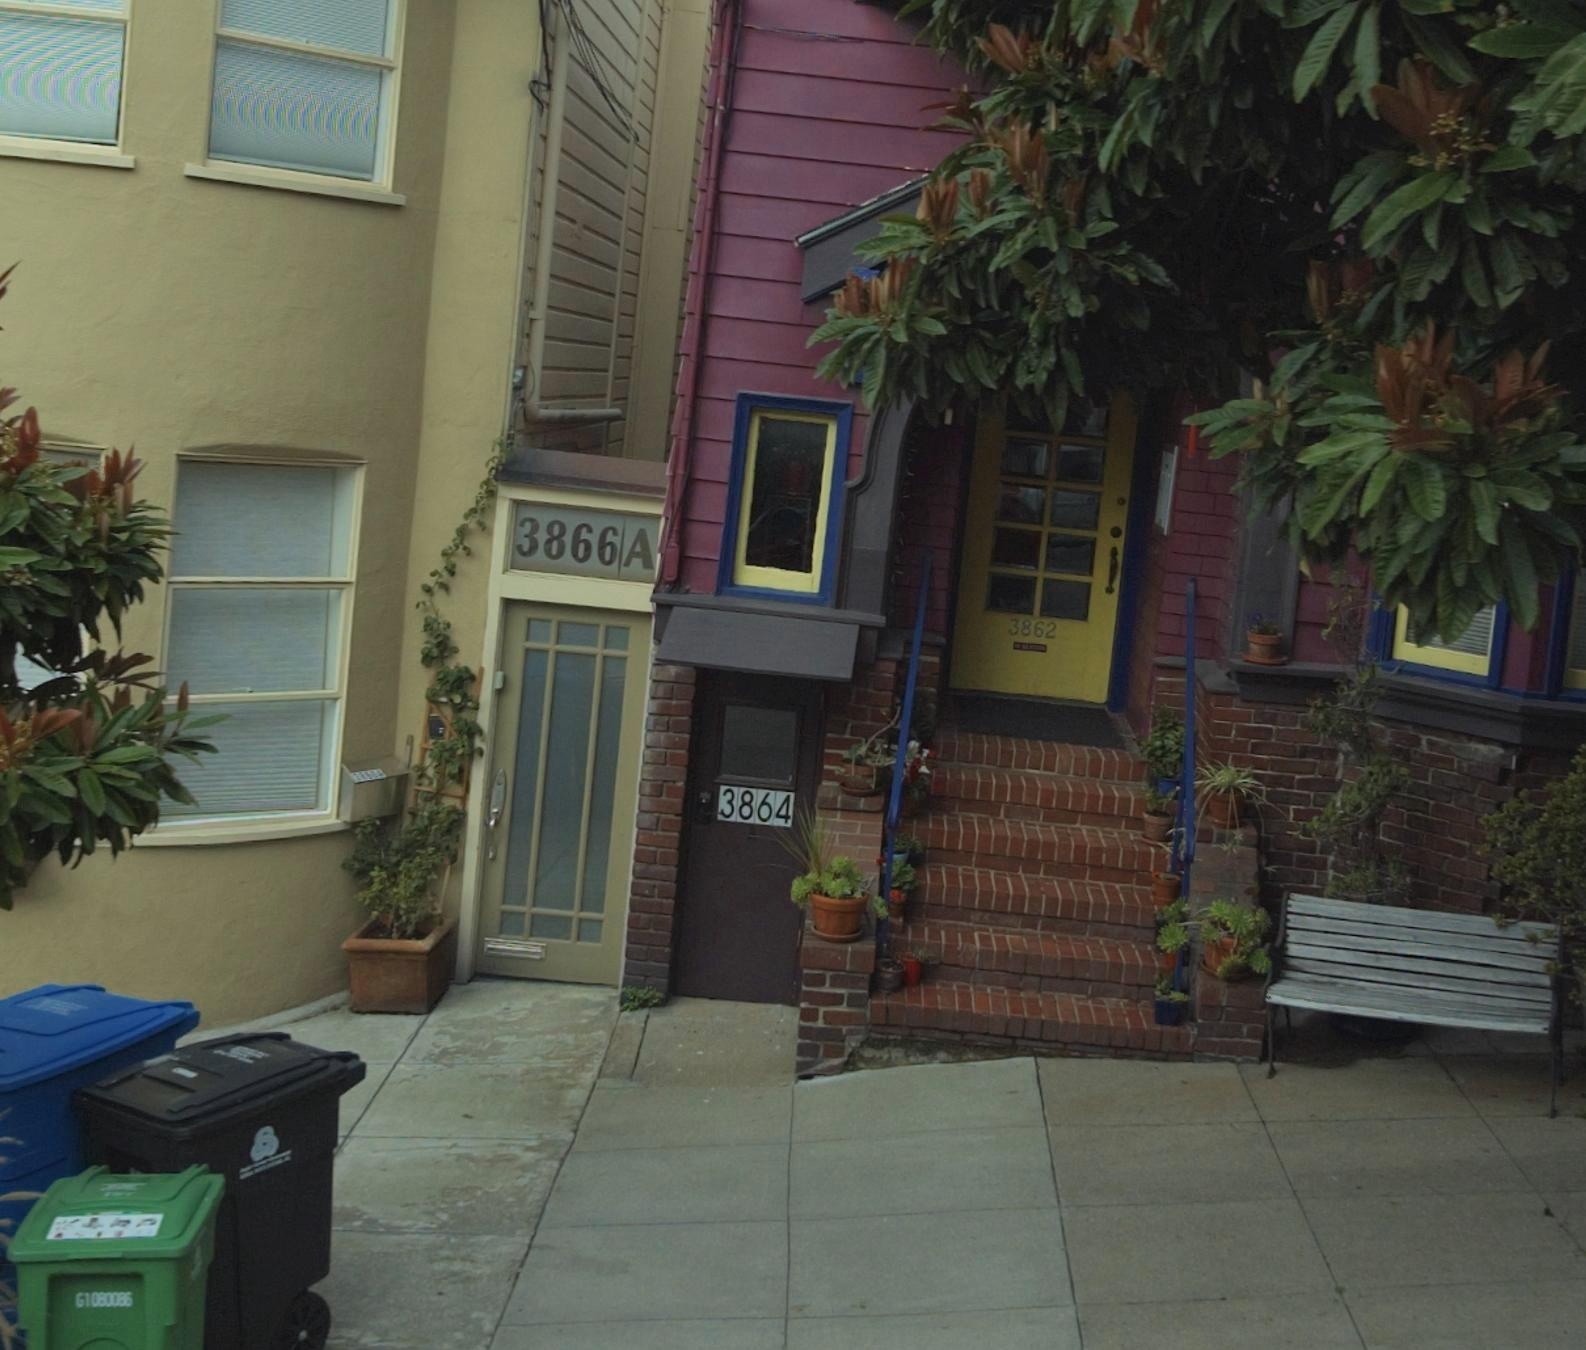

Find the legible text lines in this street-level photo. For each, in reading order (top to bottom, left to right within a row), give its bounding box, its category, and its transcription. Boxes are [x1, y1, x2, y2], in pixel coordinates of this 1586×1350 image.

[514, 514, 657, 572] StreetNumber: 3866A
[1013, 643, 1046, 652] None: NO SOLICITING
[1008, 618, 1058, 640] StreetNumber: 3862
[719, 786, 794, 826] StreetNumber: 3864